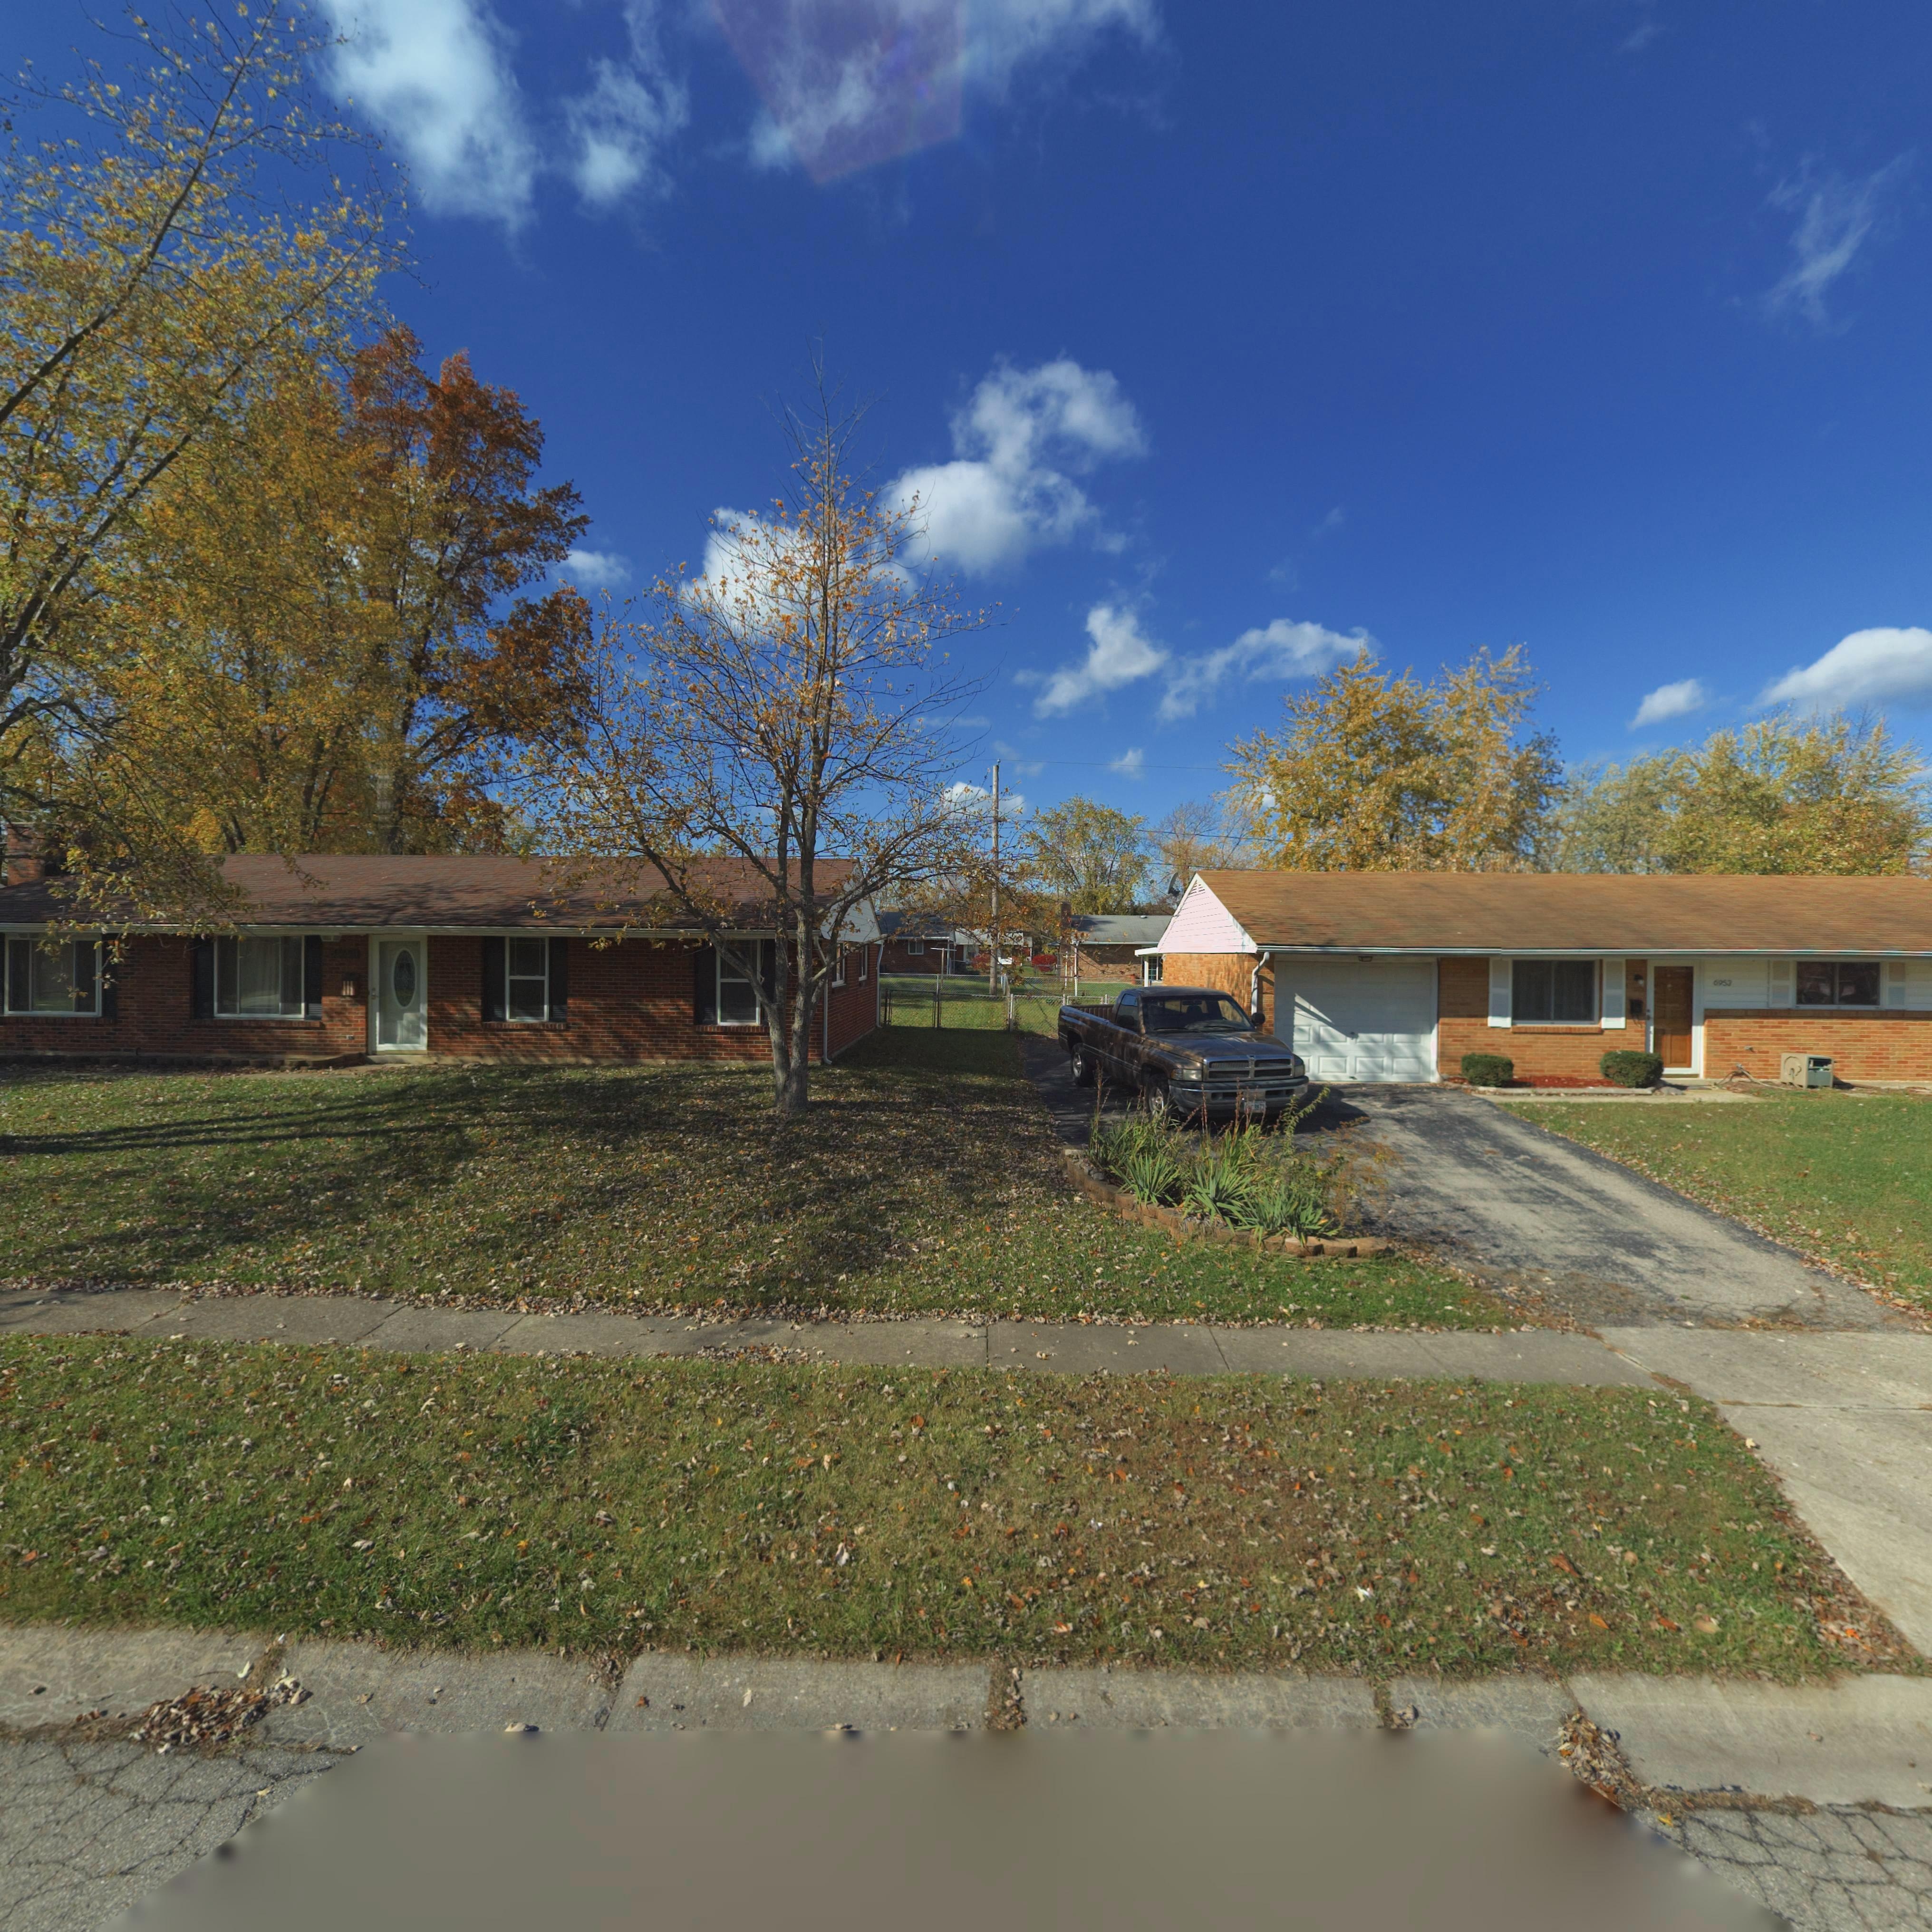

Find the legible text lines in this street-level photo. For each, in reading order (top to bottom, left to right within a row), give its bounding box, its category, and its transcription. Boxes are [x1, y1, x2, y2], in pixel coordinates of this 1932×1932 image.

[1712, 978, 1733, 987] StreetNumber: 6953